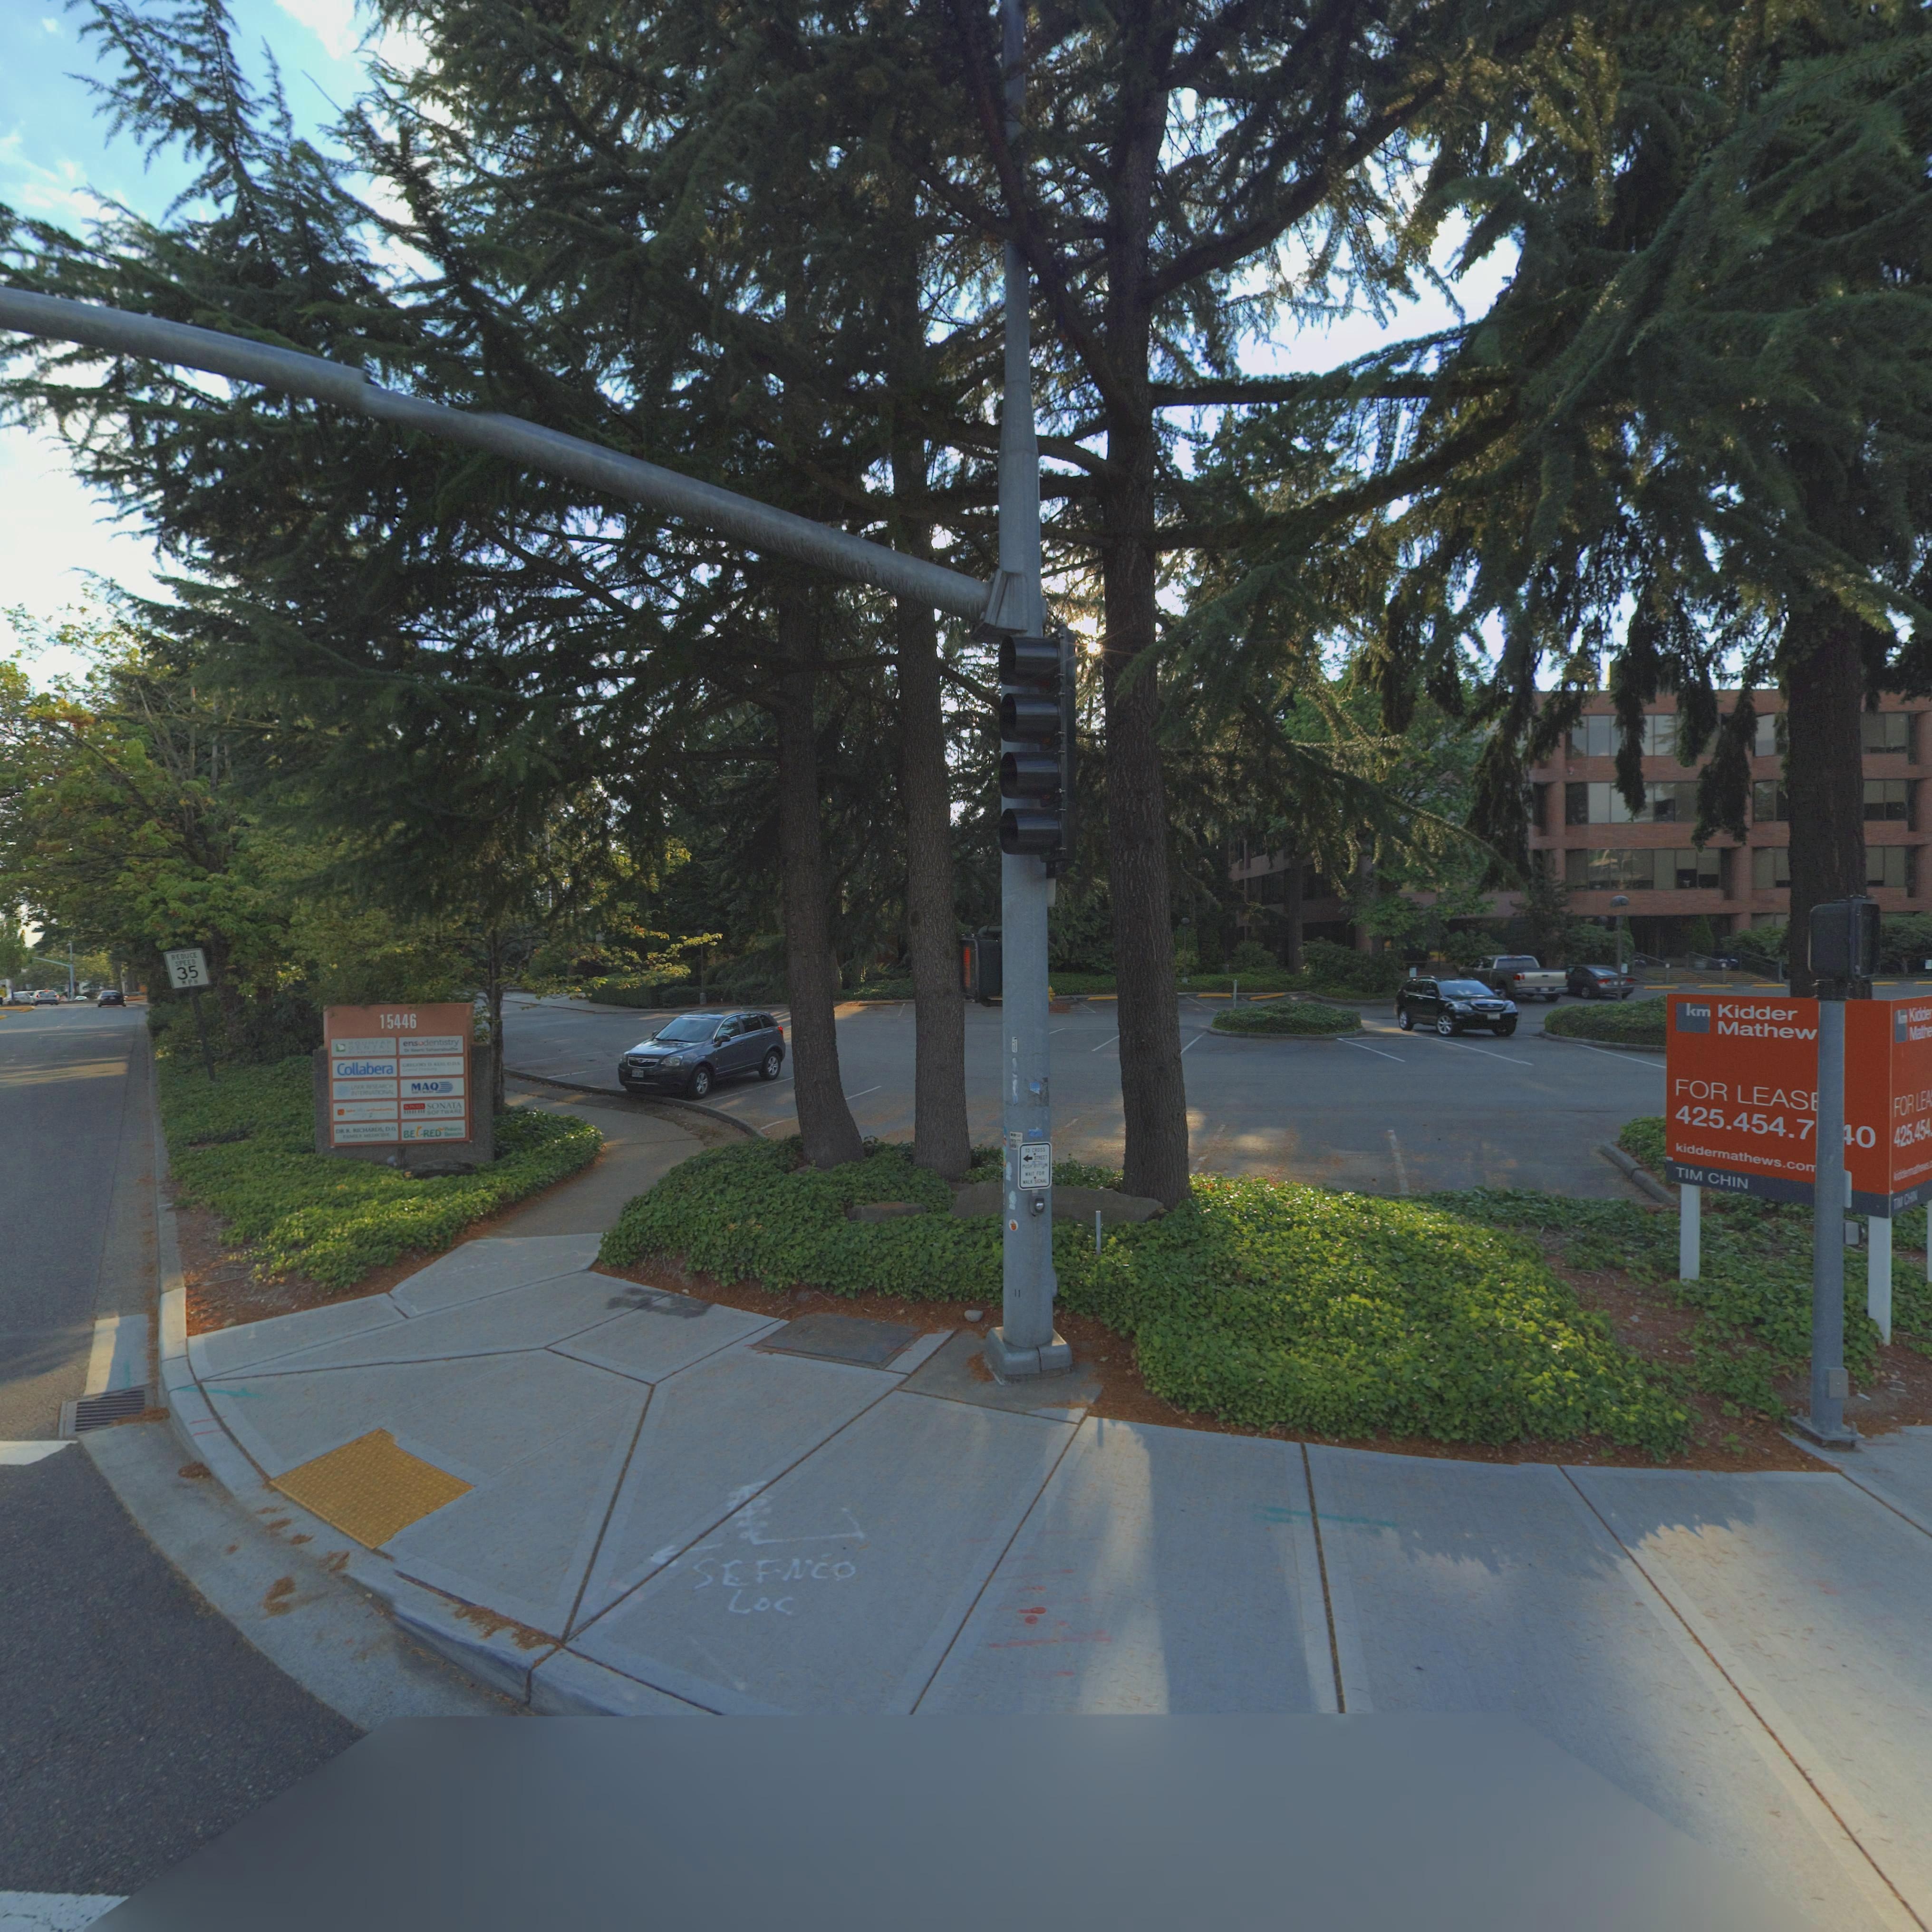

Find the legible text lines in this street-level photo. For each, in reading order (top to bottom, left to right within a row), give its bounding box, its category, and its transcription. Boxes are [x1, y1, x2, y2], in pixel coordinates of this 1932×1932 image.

[1717, 1002, 1801, 1023] BusinessName: Kidder
[380, 1014, 416, 1029] StreetNumber: 15446
[1717, 1021, 1818, 1041] BusinessName: Mathew
[402, 1038, 460, 1046] BusinessName: ensodentistry
[336, 1061, 394, 1076] BusinessName: Collabera
[411, 1082, 439, 1090] BusinessName: MAO
[426, 1101, 462, 1110] BusinessName: SONATA
[426, 1108, 463, 1115] BusinessName: SOFTWARE
[404, 1128, 444, 1138] BusinessName: BEL-RED